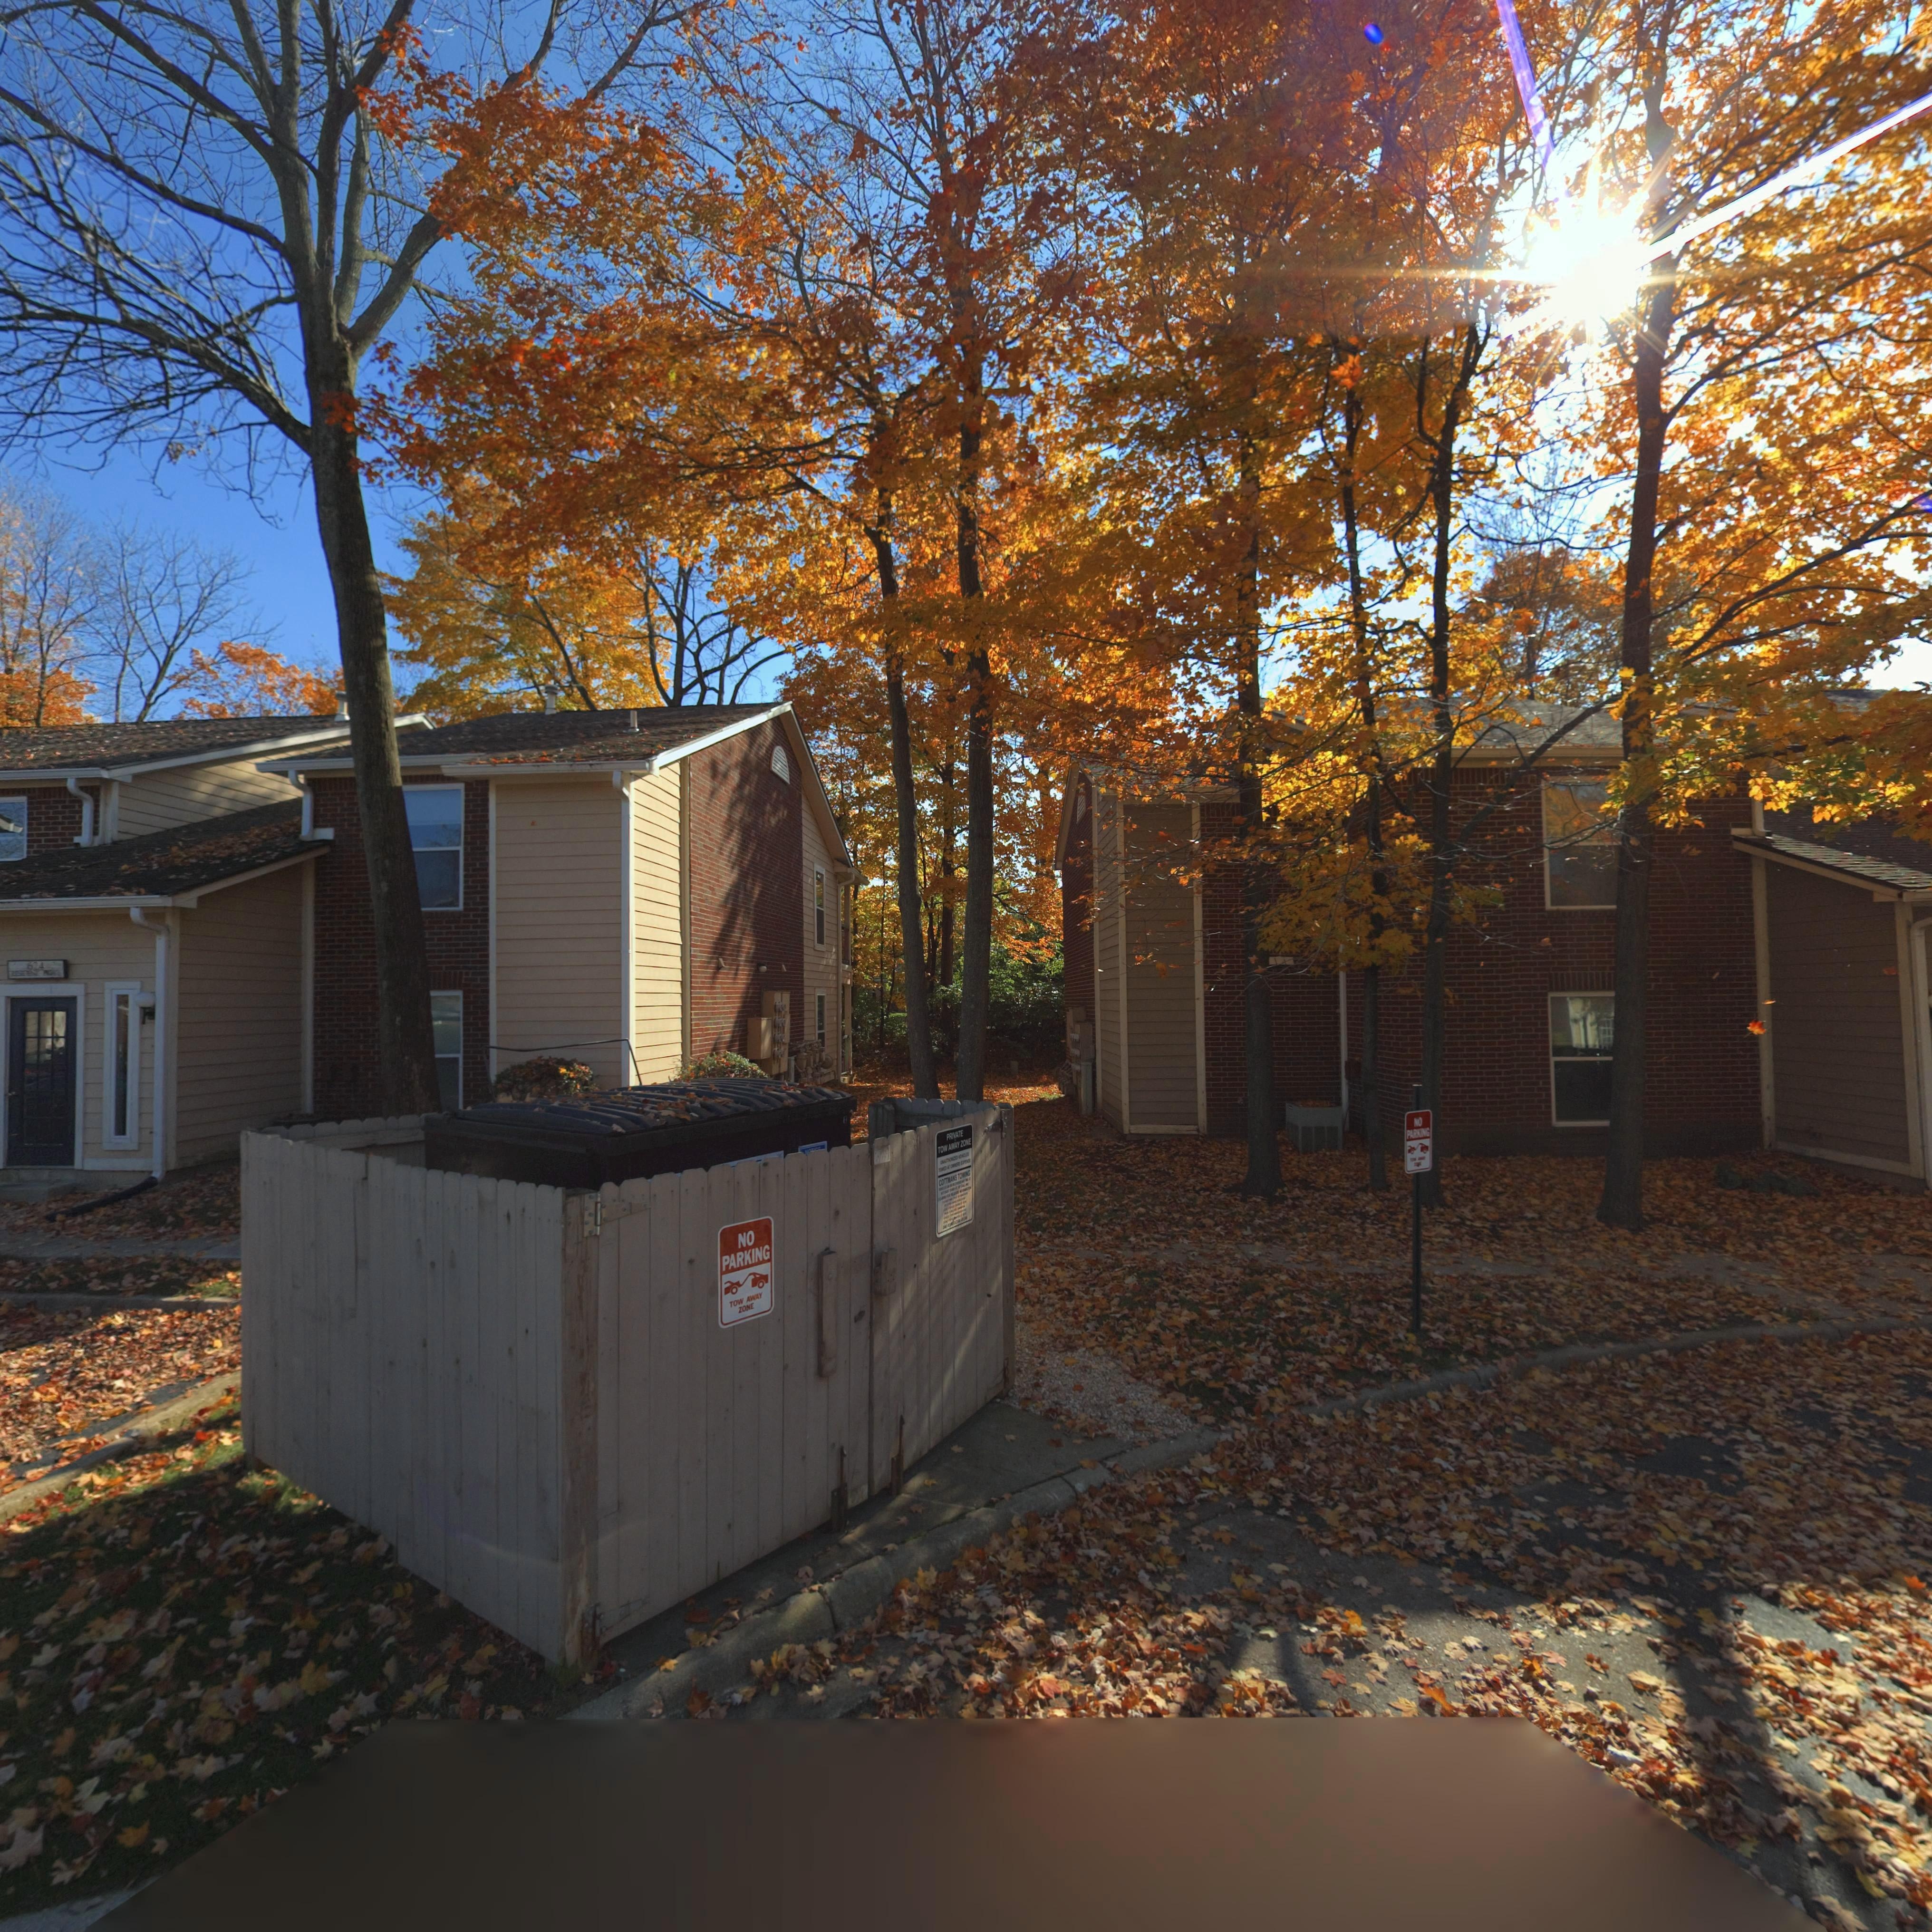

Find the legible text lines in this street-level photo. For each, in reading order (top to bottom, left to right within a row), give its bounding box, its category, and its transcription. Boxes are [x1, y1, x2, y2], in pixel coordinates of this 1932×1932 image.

[26, 960, 46, 972] StreetNumber: 624
[1413, 1116, 1424, 1128] None: *O
[945, 1128, 965, 1142] None: PRIVATE
[1405, 1126, 1430, 1140] None: PARK**G
[937, 1137, 972, 1155] None: TOW AWAY ZONE
[938, 1169, 972, 1188] None: COTT*ANS TO***G
[737, 1229, 756, 1250] None: NO
[721, 1243, 772, 1274] None: PARKING
[737, 1302, 755, 1315] None: ZONE
[729, 1290, 764, 1309] None: TOW AWAY